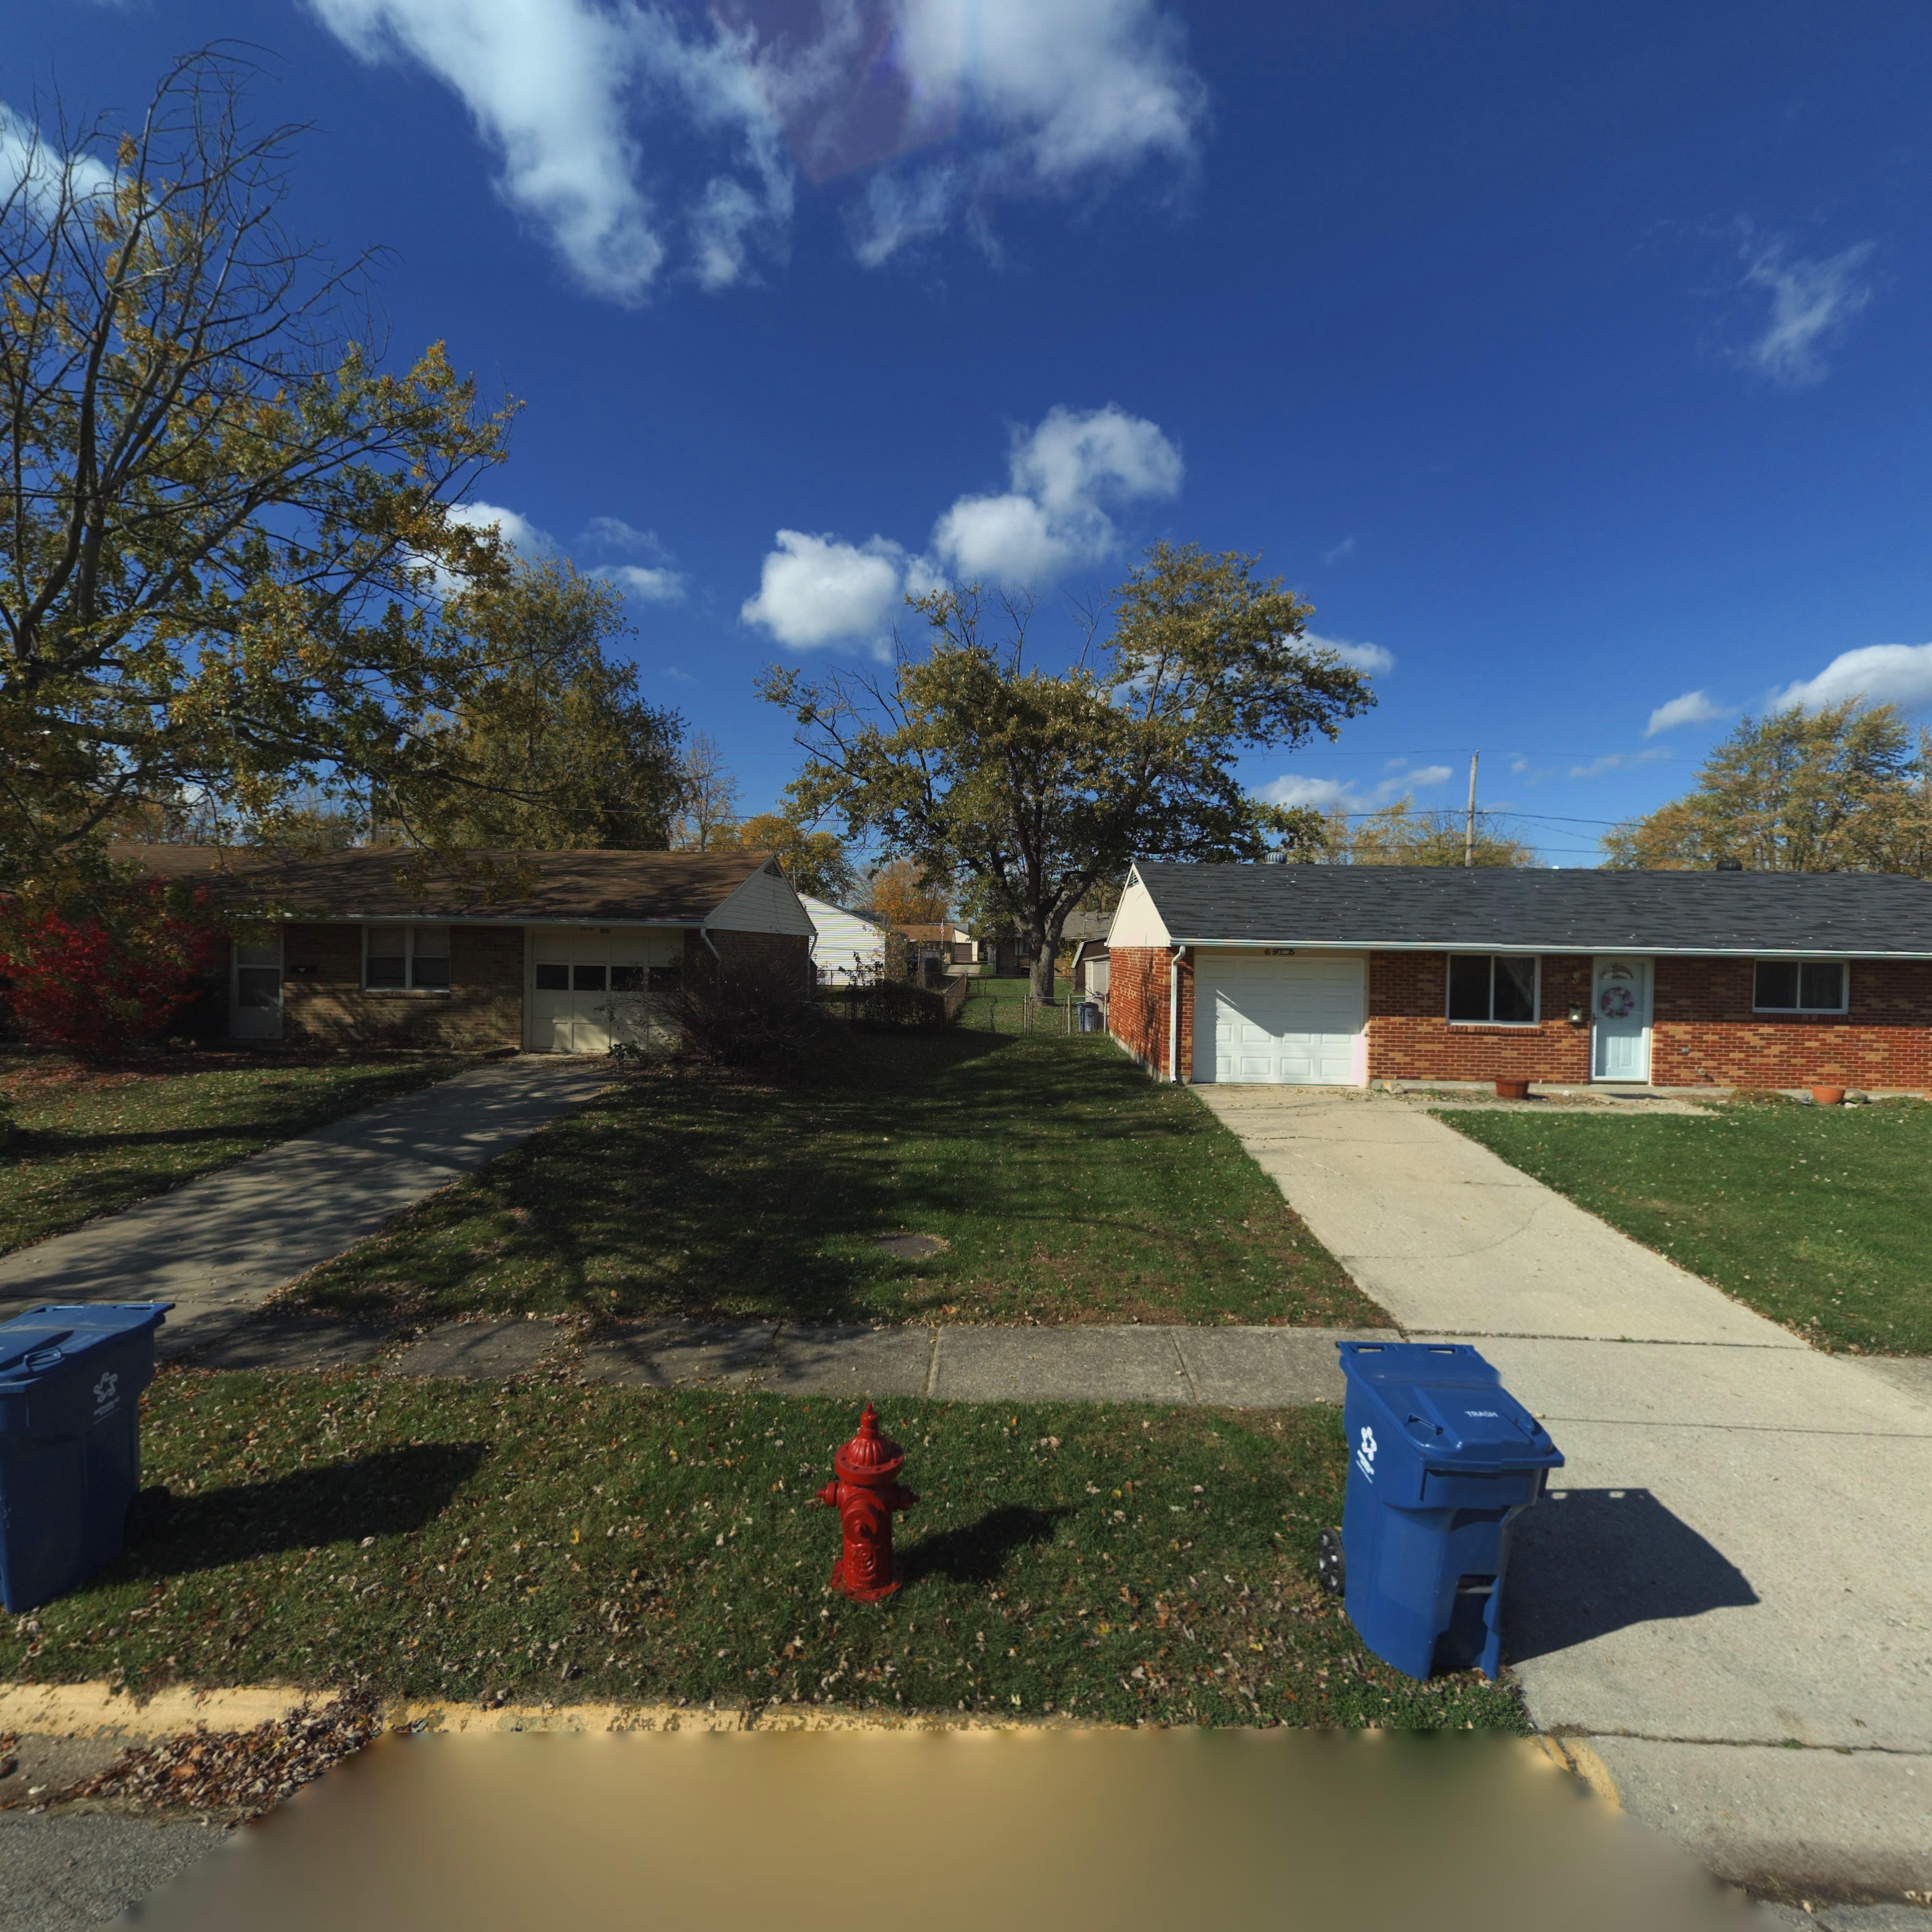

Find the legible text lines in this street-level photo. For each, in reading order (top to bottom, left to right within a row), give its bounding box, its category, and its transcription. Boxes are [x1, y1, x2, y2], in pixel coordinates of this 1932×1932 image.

[1263, 947, 1296, 957] StreetNumber: 69**